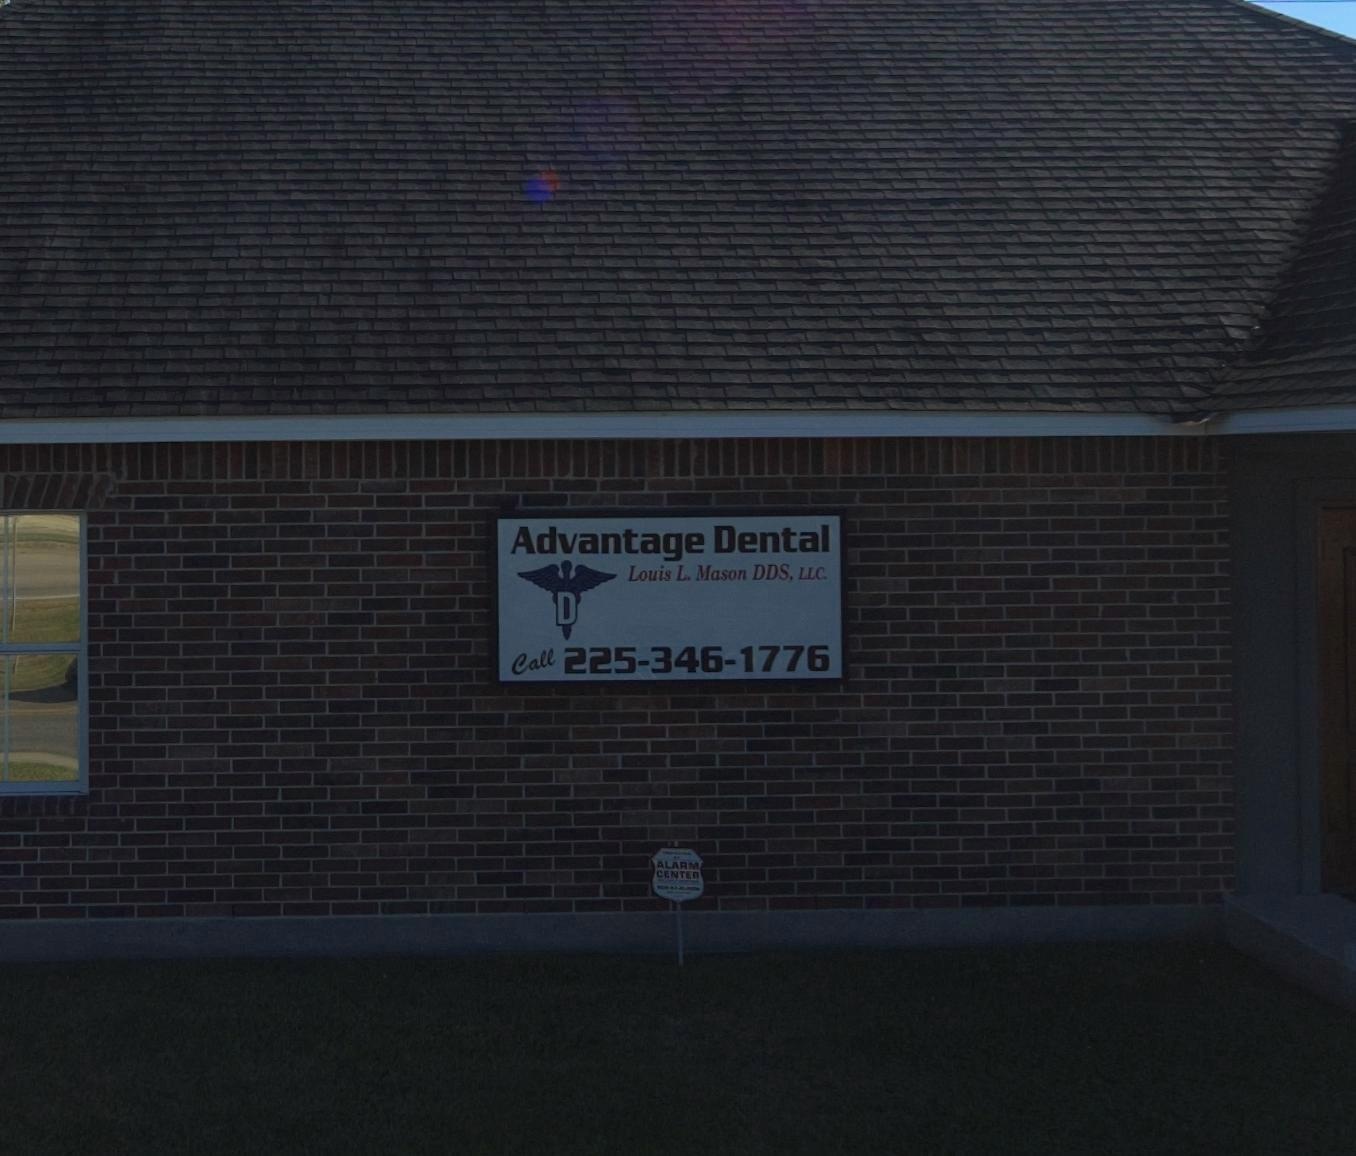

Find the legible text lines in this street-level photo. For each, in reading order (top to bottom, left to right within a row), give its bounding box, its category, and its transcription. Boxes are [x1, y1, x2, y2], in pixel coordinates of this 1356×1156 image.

[509, 523, 832, 563] BusinessName: Advantage Dental
[627, 563, 827, 583] BusinessName: Louis L. Mason DDS, LLC.
[555, 589, 578, 627] None: D
[510, 645, 831, 676] None: Call 225-346-1776
[656, 859, 700, 871] None: ALARM
[656, 870, 700, 880] None: CENTER